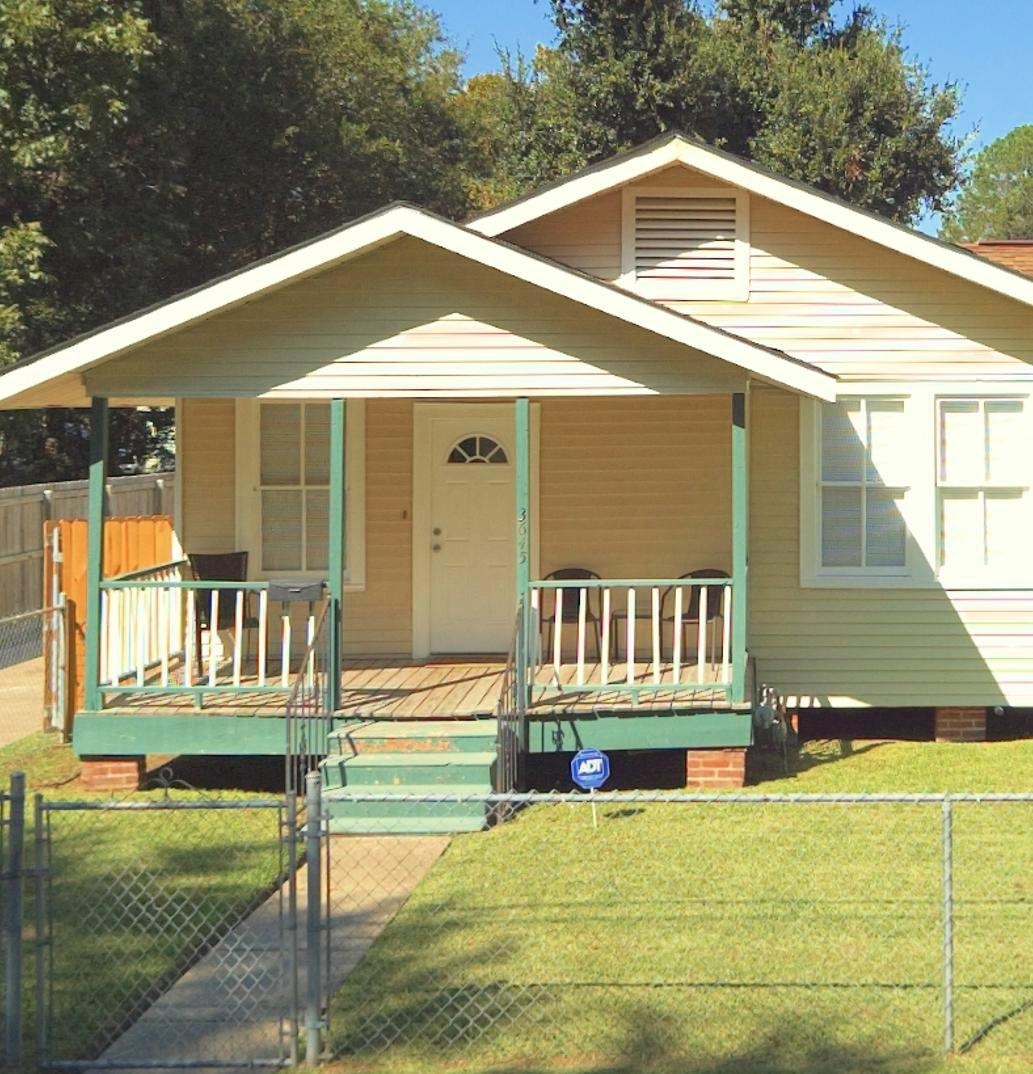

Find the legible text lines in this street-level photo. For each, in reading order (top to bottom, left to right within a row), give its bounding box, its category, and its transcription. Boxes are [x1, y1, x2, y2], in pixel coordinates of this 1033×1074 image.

[517, 506, 528, 565] StreetNumber: 3645
[576, 757, 605, 775] None: ADT